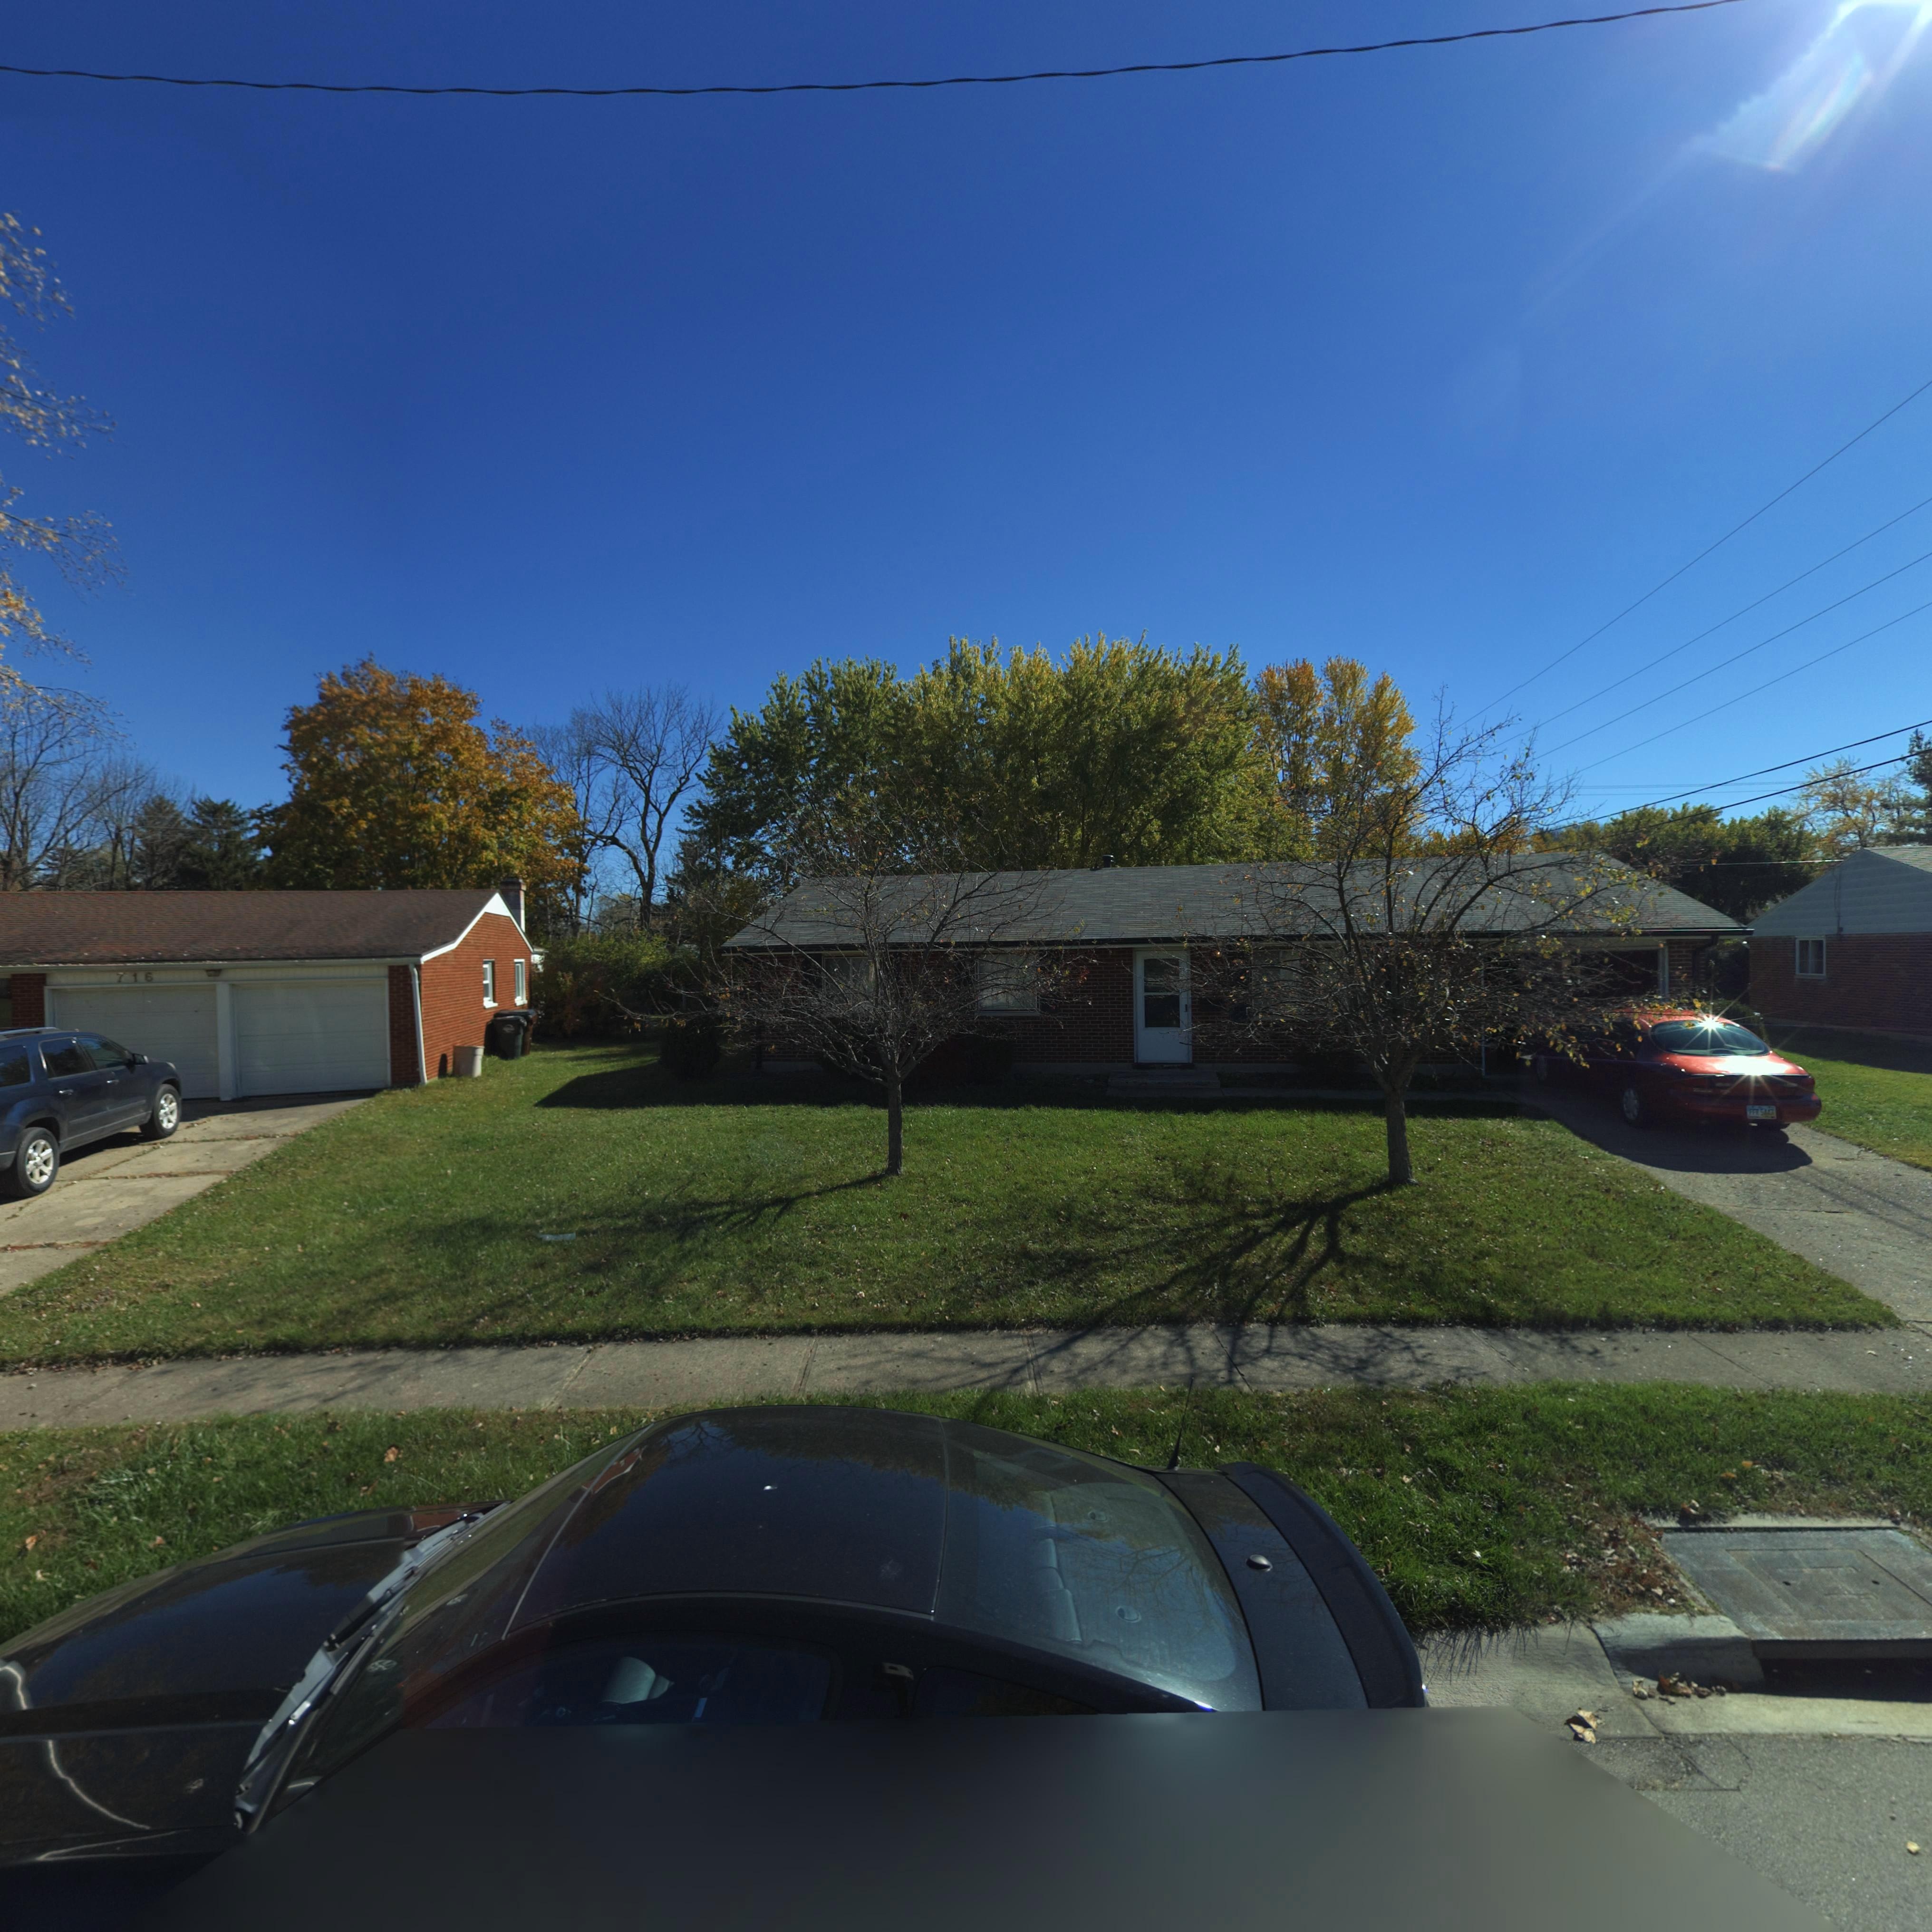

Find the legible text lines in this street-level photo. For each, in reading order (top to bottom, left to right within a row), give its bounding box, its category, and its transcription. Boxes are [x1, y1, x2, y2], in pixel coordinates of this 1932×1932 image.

[115, 971, 155, 984] StreetNumber: 716
[1748, 1108, 1775, 1116] None: FFR*5443